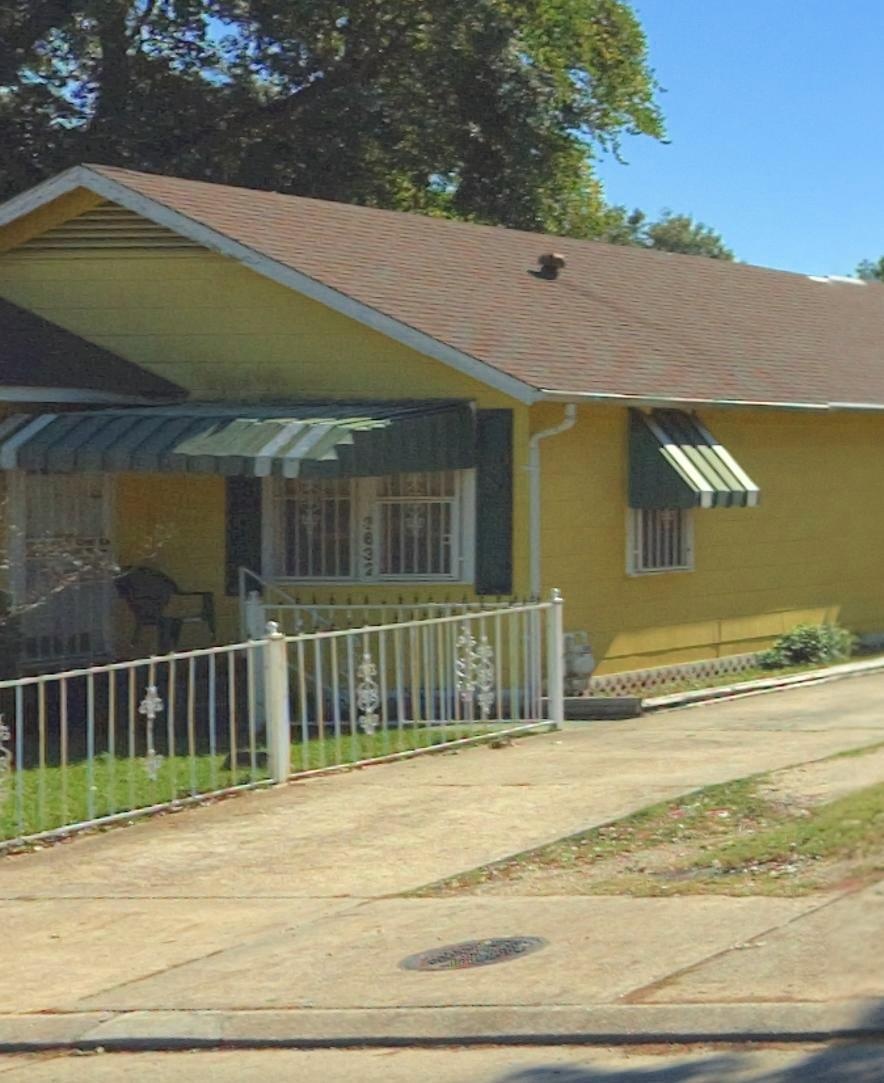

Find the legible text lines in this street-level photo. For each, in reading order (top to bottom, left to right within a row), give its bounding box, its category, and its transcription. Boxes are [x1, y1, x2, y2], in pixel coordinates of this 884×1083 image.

[360, 514, 375, 578] StreetNumber: 3*32